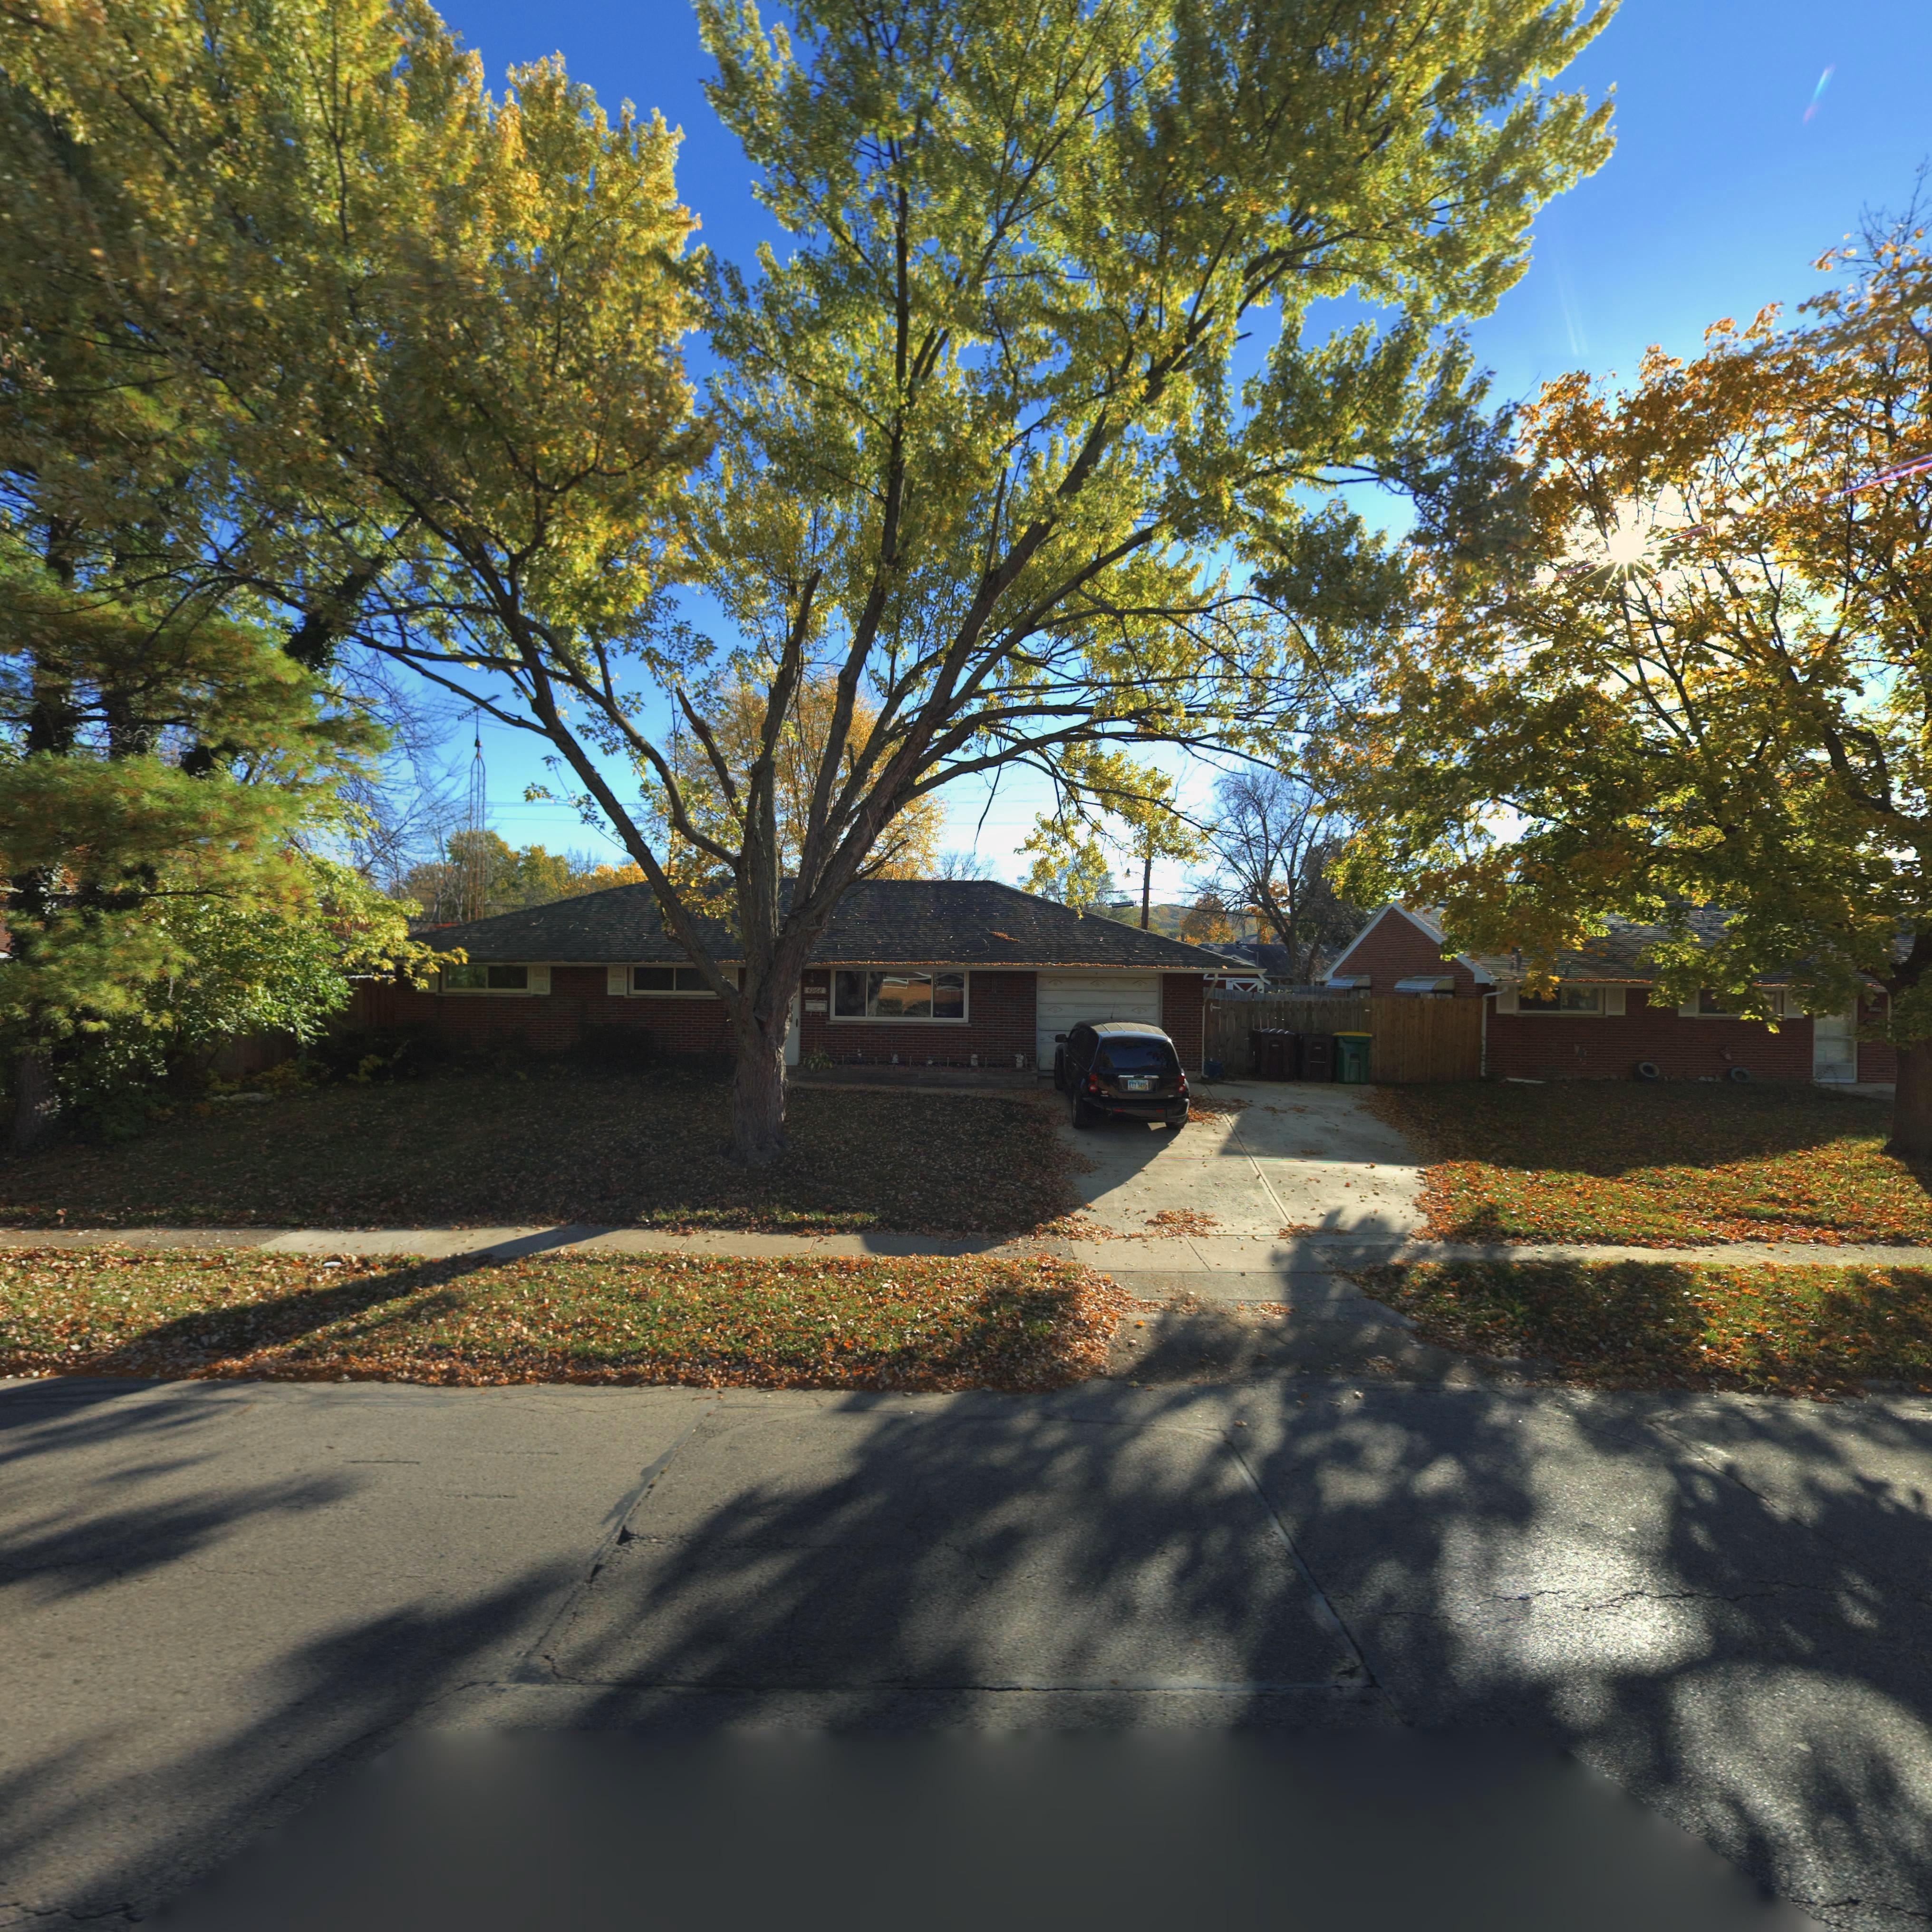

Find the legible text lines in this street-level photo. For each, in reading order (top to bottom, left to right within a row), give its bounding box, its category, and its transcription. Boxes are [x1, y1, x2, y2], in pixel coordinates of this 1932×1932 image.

[806, 987, 823, 994] StreetNumber: 4968